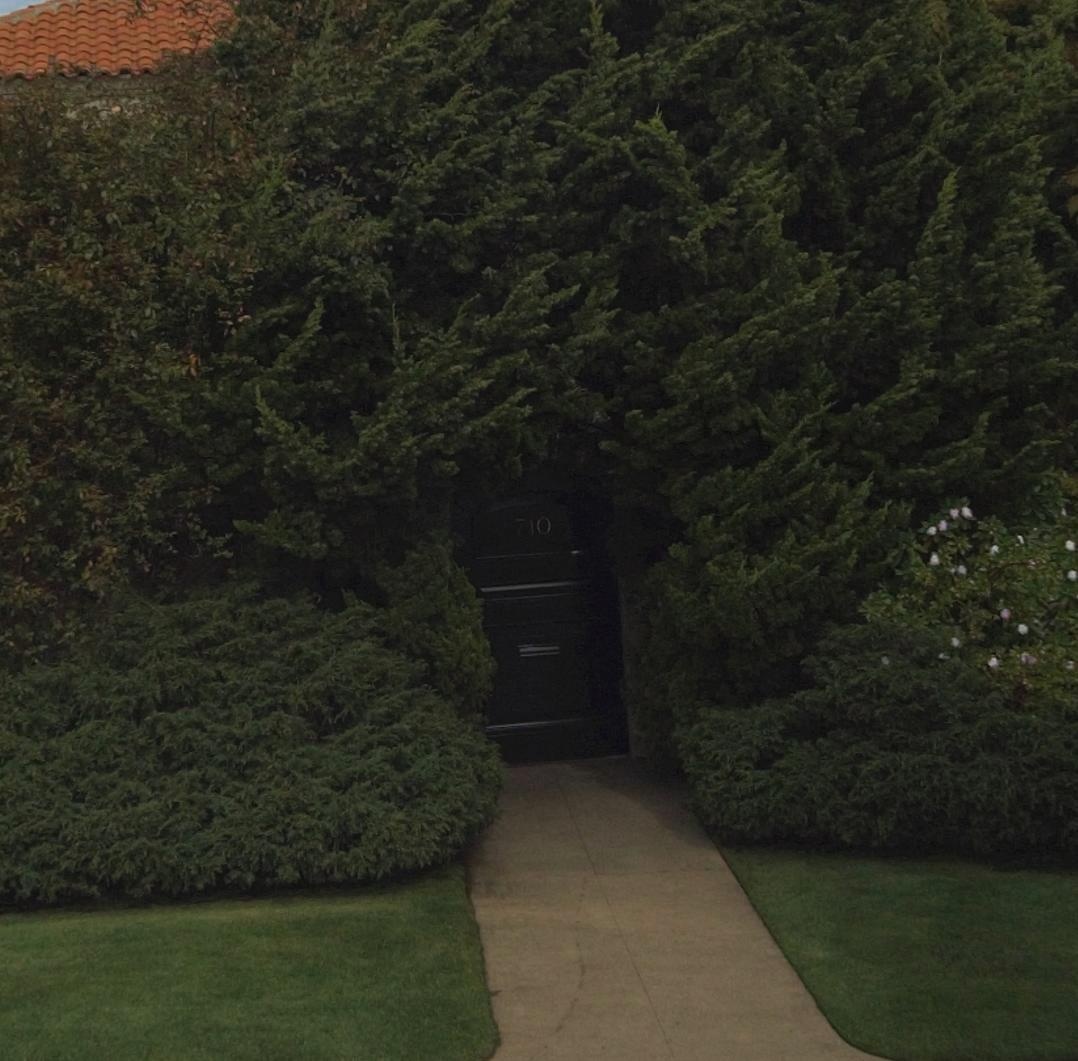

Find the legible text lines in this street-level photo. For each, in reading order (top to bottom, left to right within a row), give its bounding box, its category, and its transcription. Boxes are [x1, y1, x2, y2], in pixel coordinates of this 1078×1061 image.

[512, 516, 552, 537] StreetNumber: 710